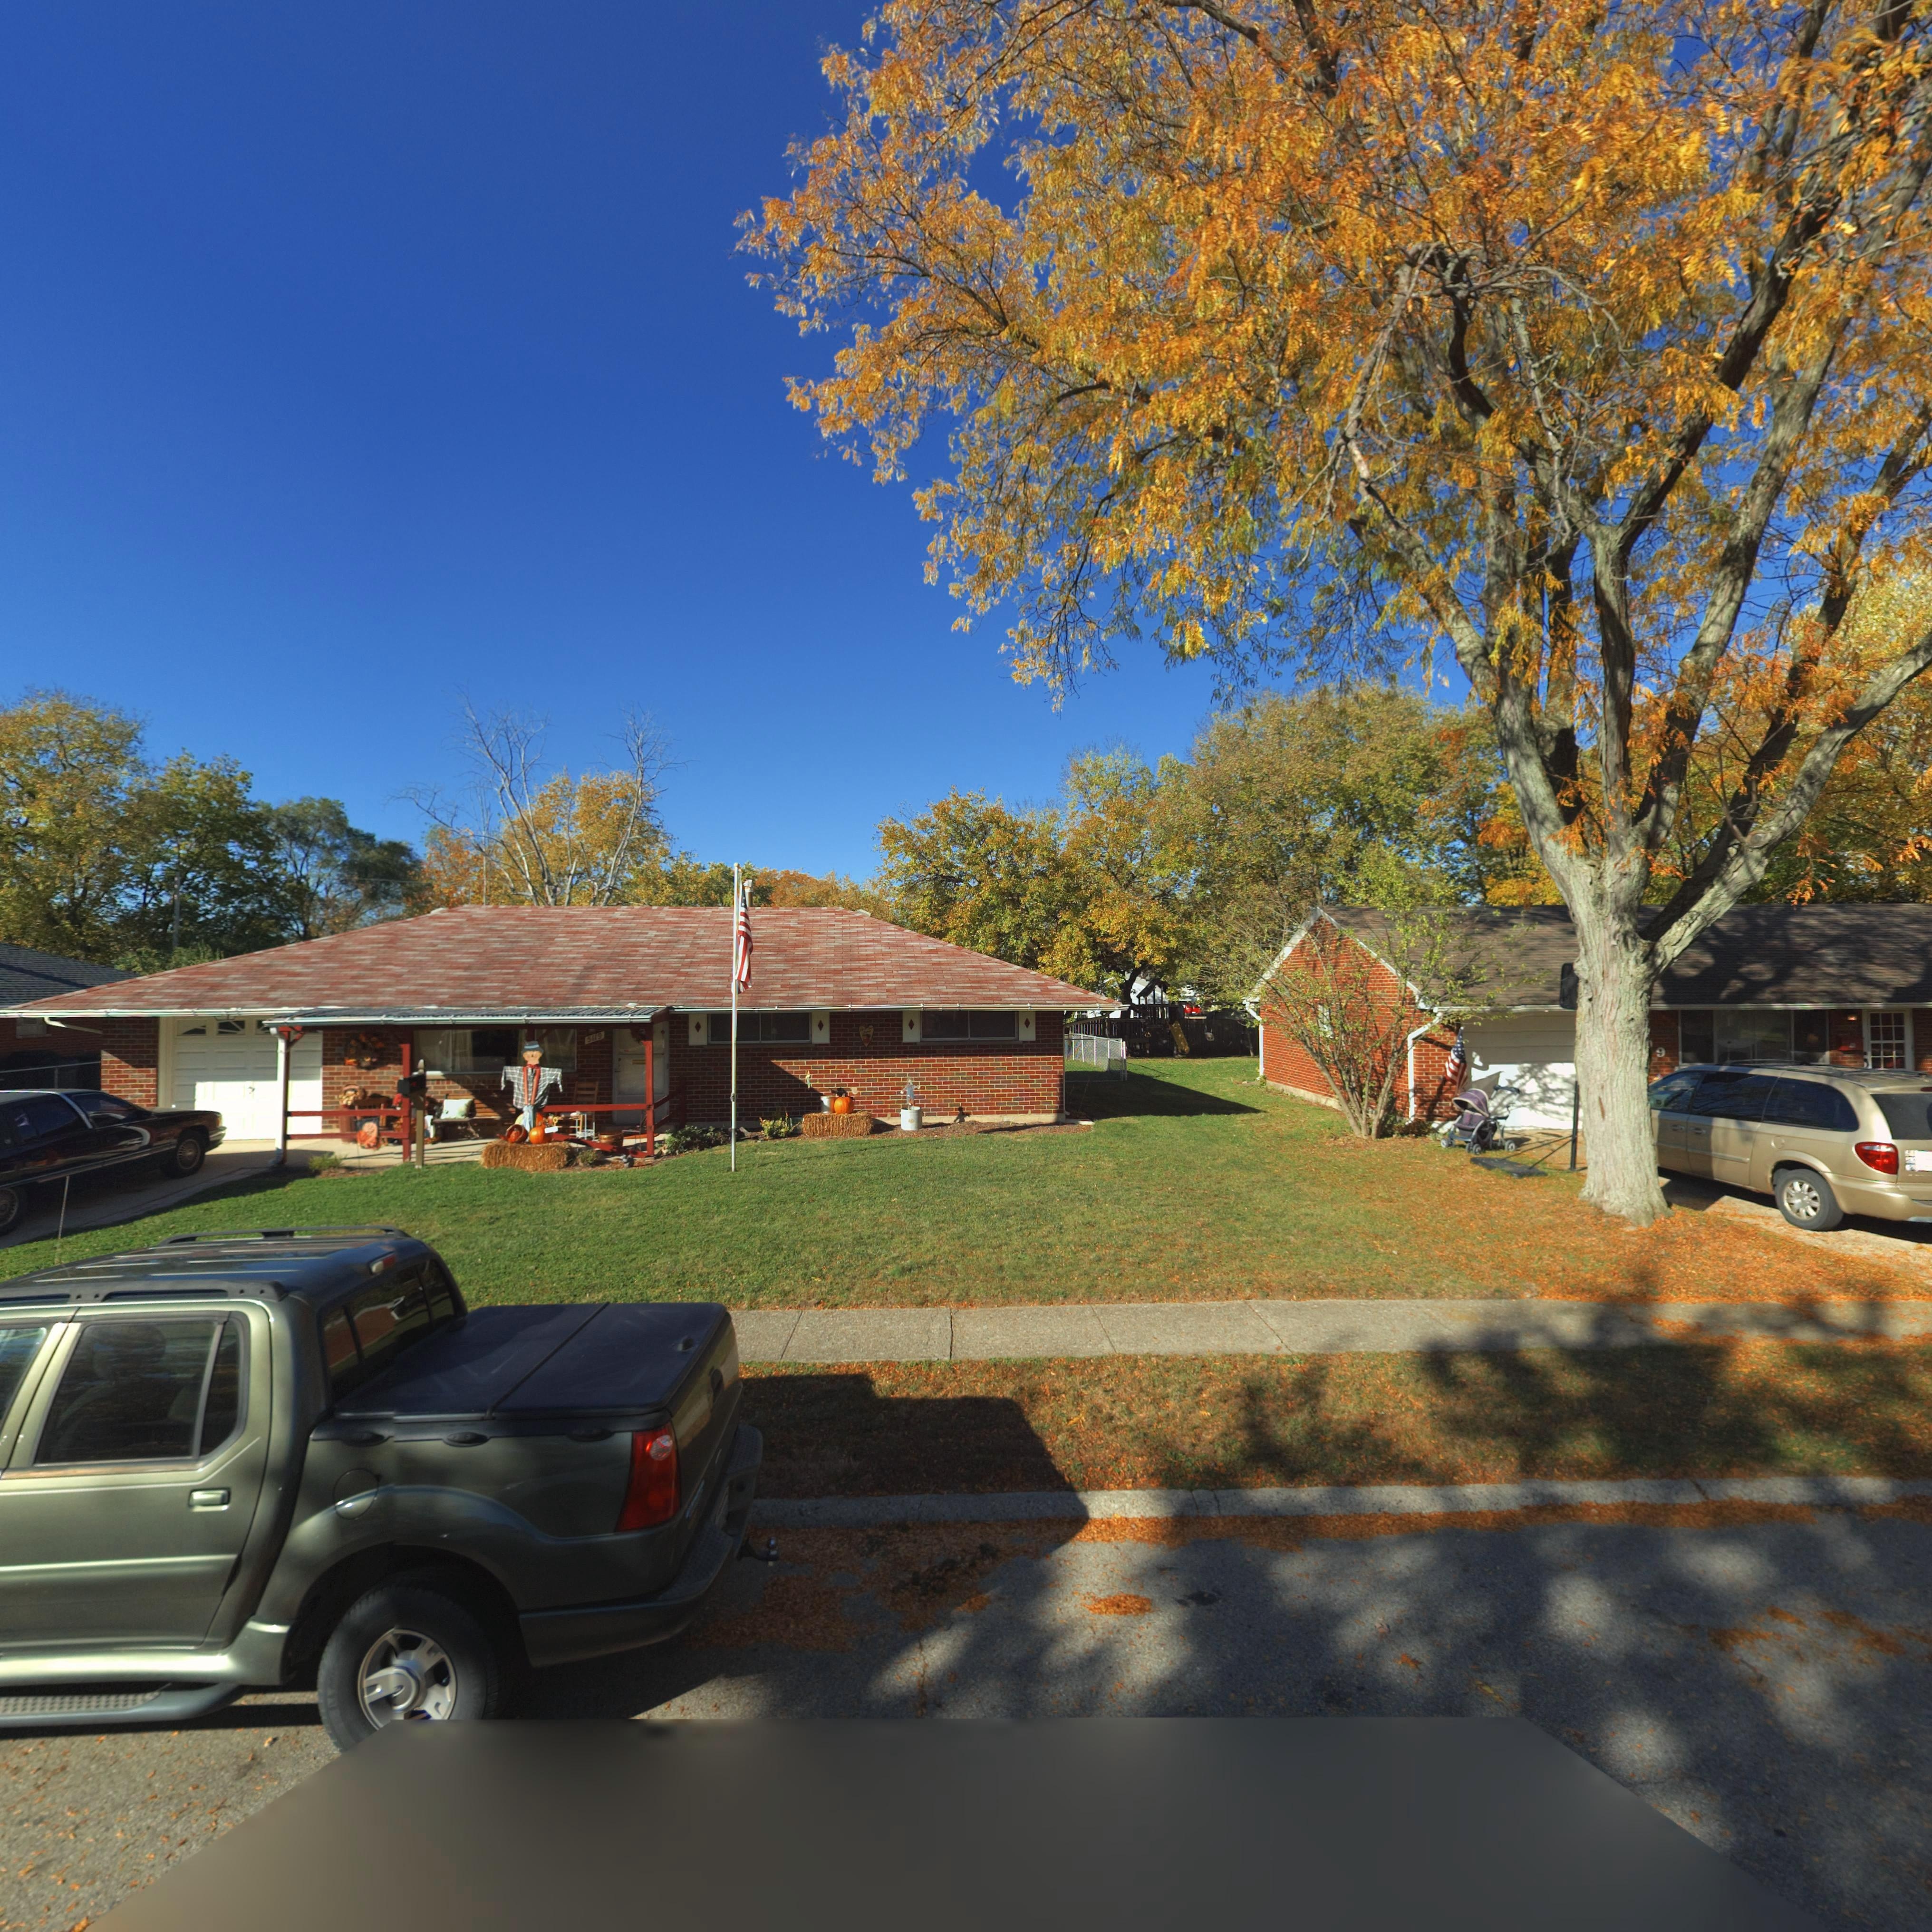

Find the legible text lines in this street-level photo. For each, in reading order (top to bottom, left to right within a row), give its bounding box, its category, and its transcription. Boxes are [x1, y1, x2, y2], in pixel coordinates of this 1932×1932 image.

[586, 1031, 604, 1044] StreetNumber: 5119
[1655, 1045, 1666, 1058] StreetNumber: 9